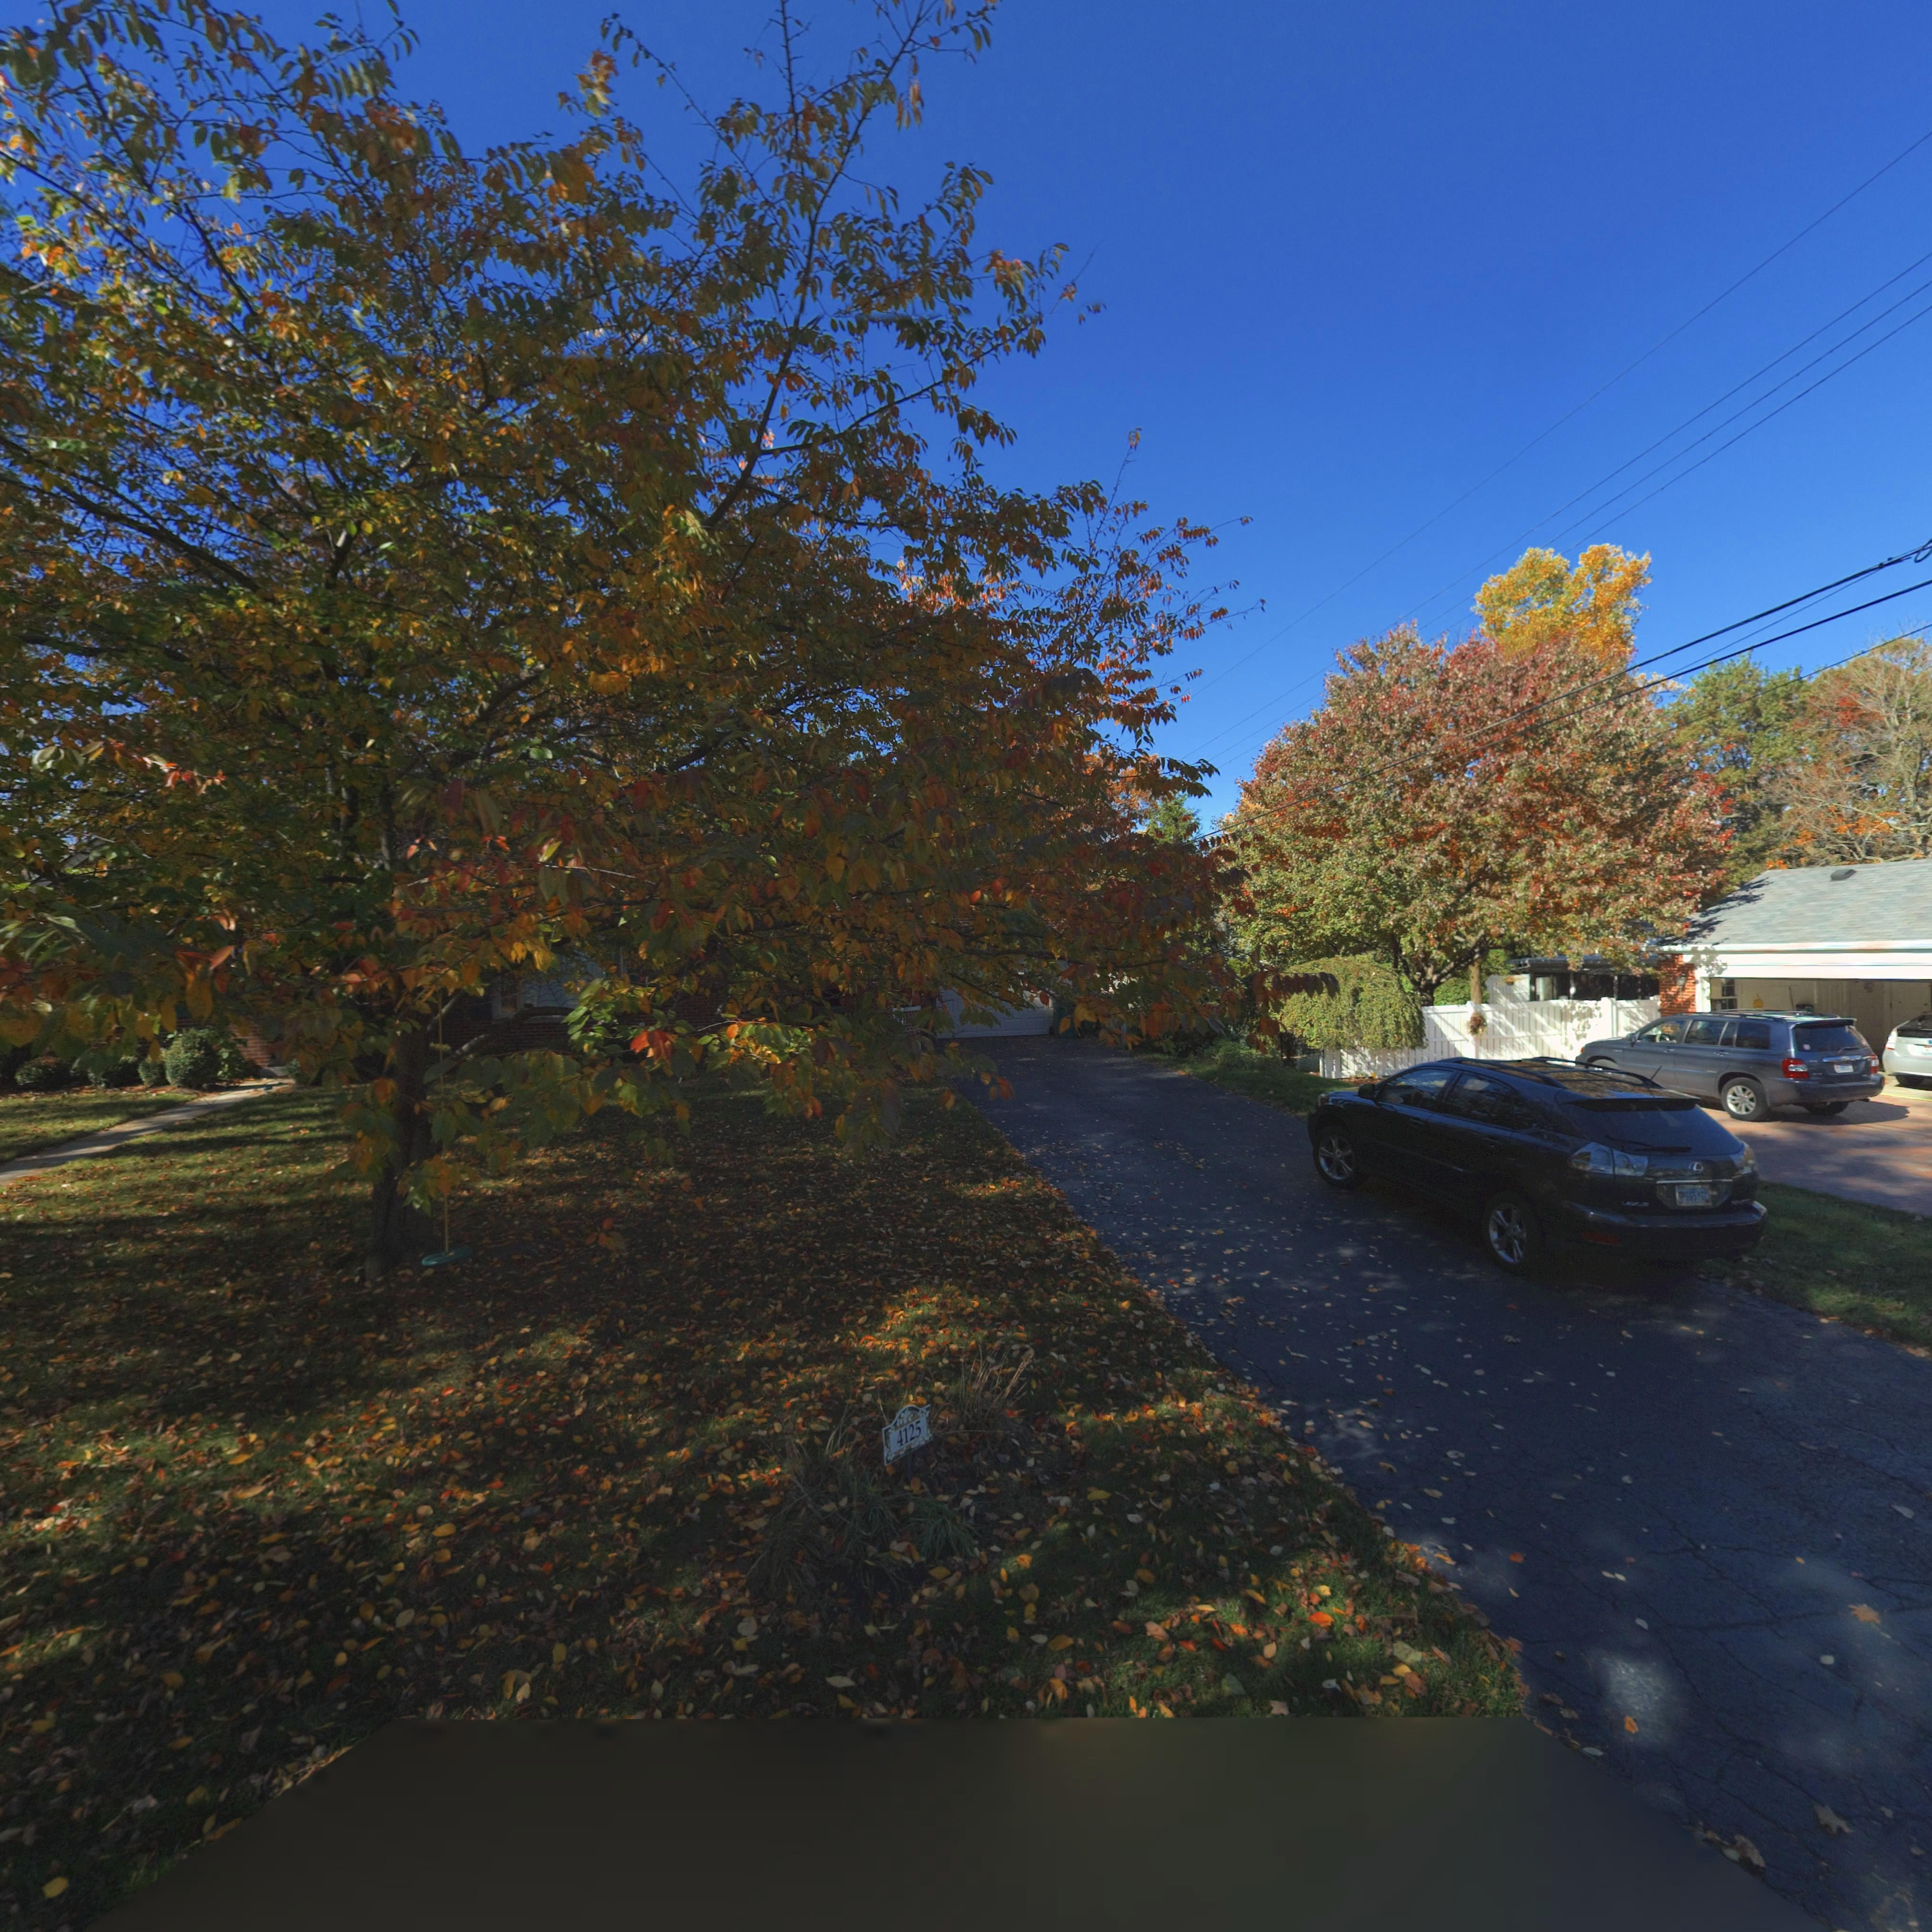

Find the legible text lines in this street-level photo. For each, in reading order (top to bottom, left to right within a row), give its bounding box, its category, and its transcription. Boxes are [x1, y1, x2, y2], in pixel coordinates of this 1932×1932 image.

[1688, 1190, 1698, 1202] None: 65
[1620, 1200, 1627, 1207] None: L
[894, 1418, 923, 1449] StreetNumber: 4125